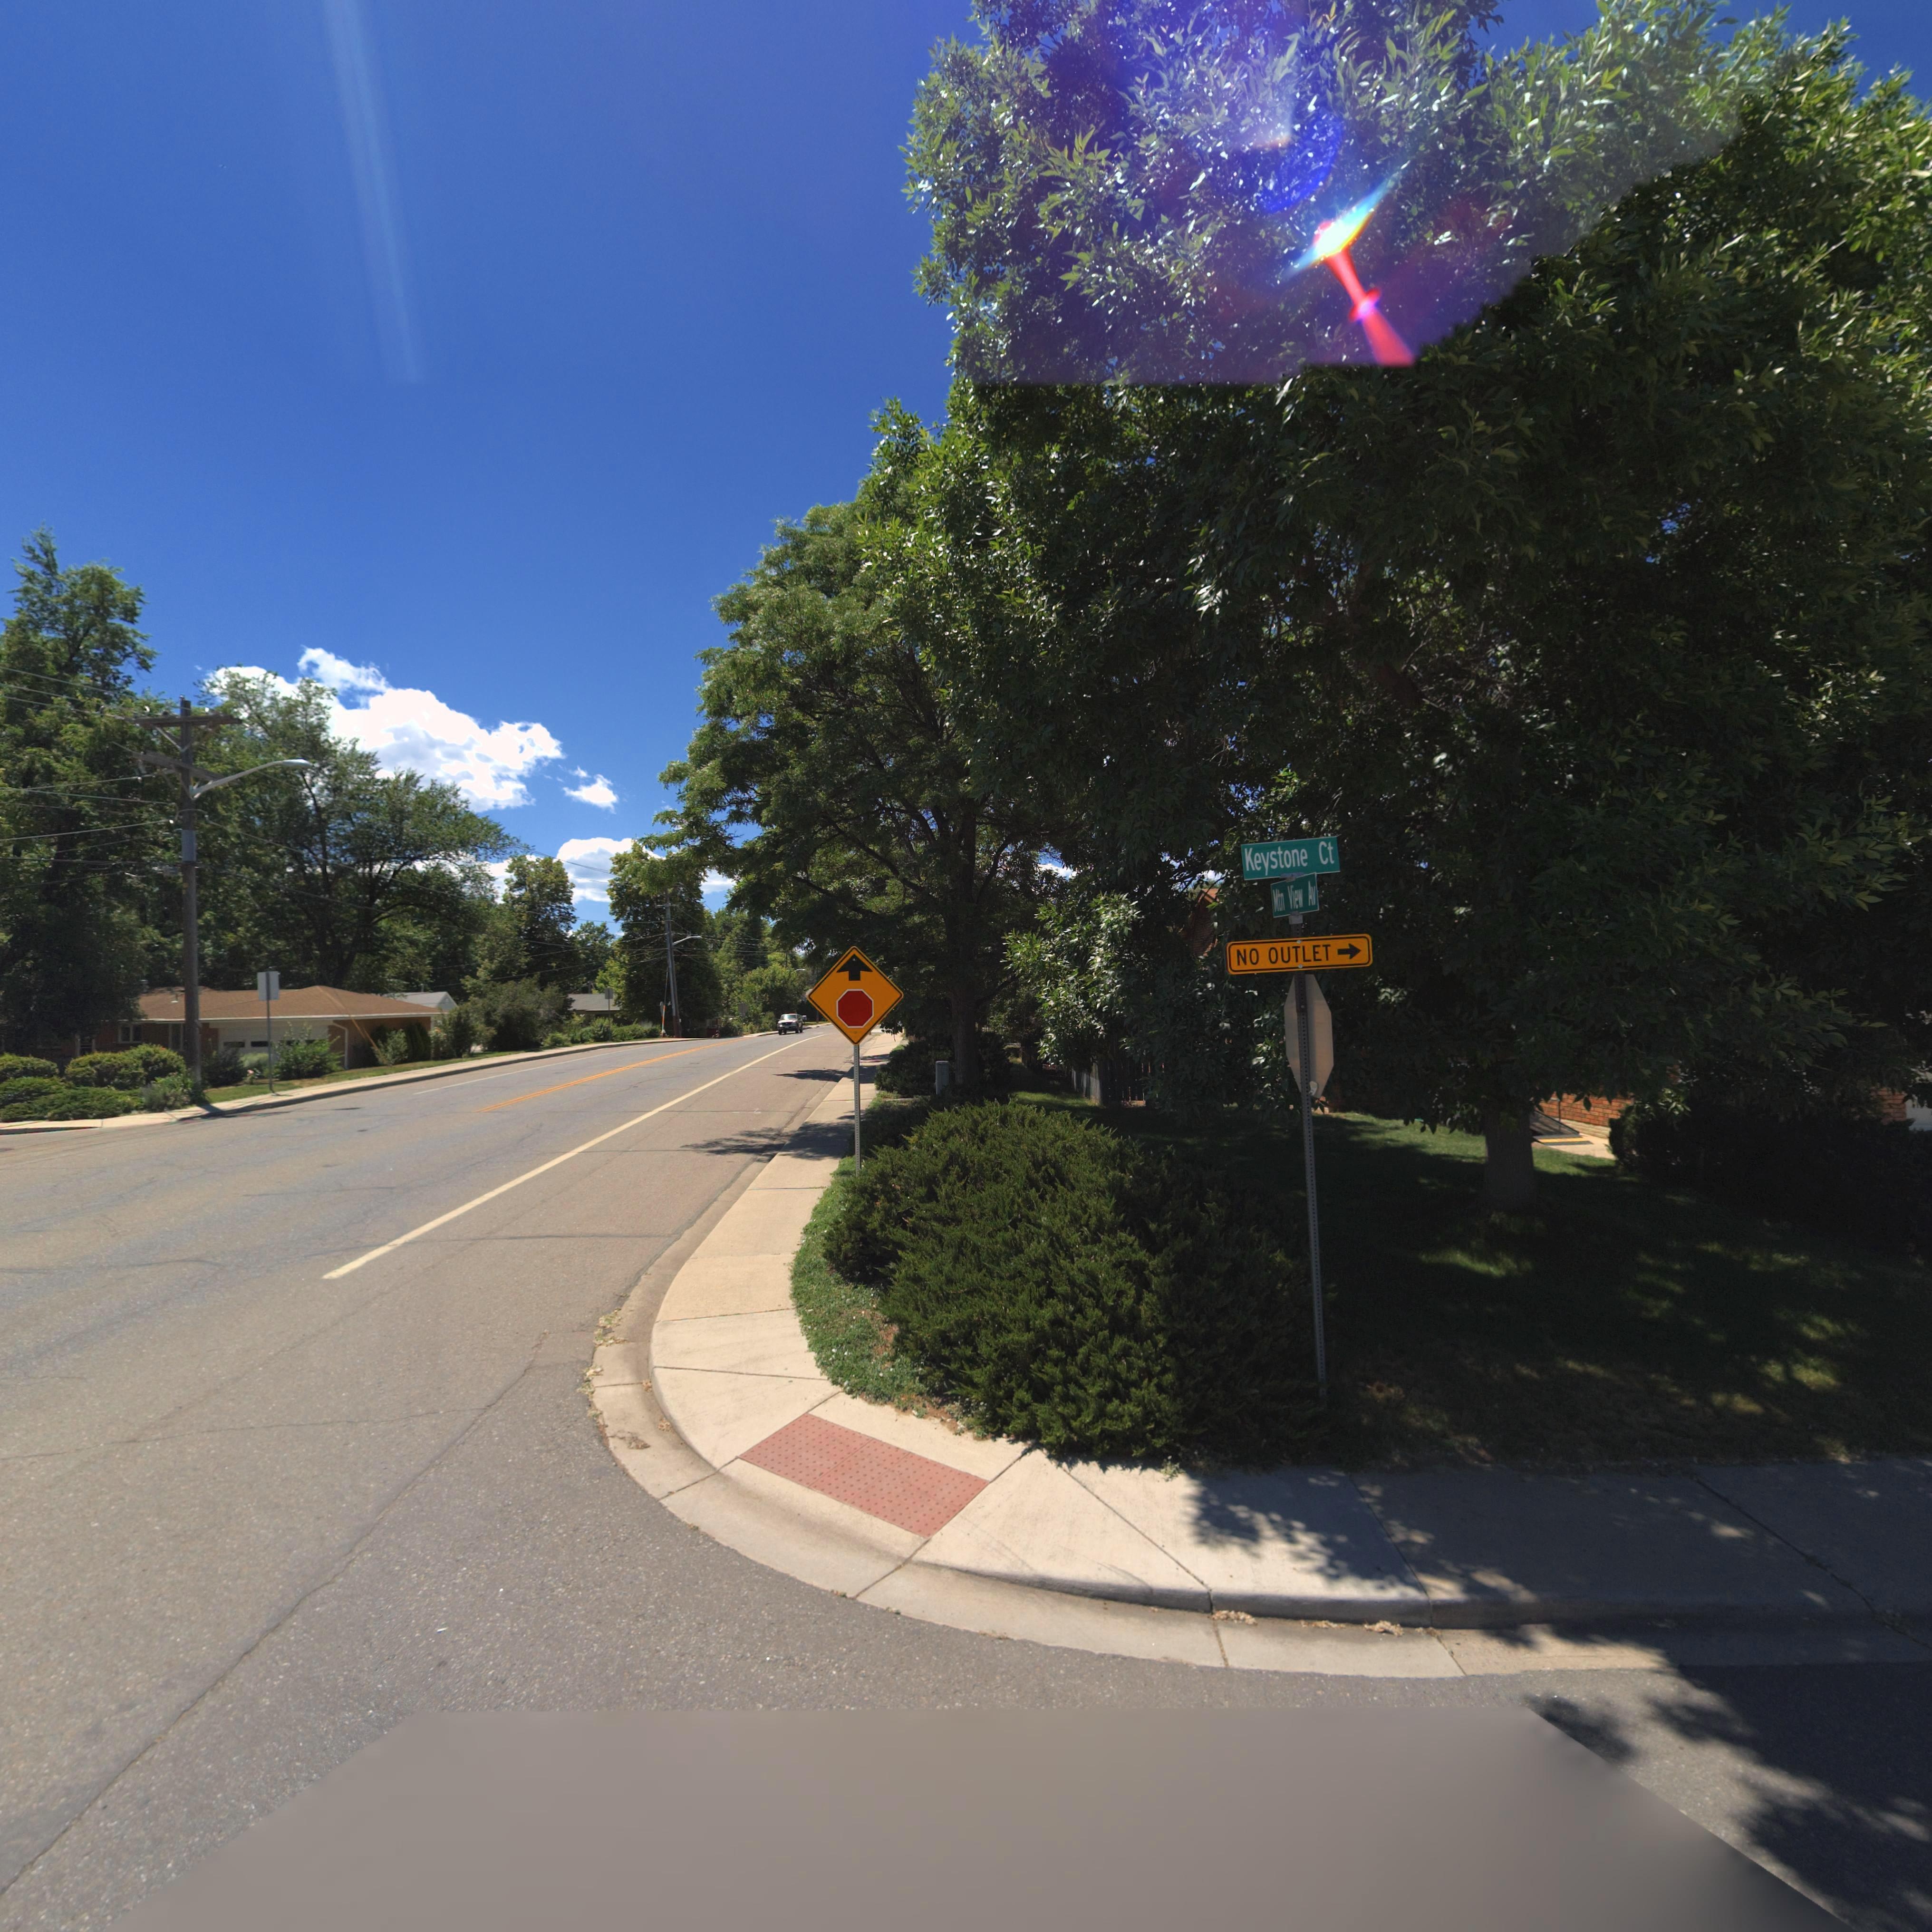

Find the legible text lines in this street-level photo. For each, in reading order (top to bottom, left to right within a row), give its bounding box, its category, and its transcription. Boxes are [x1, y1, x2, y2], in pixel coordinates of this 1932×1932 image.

[1244, 840, 1334, 876] StreetName: Keystone Ct
[1272, 881, 1316, 912] StreetName: Mtn View Av